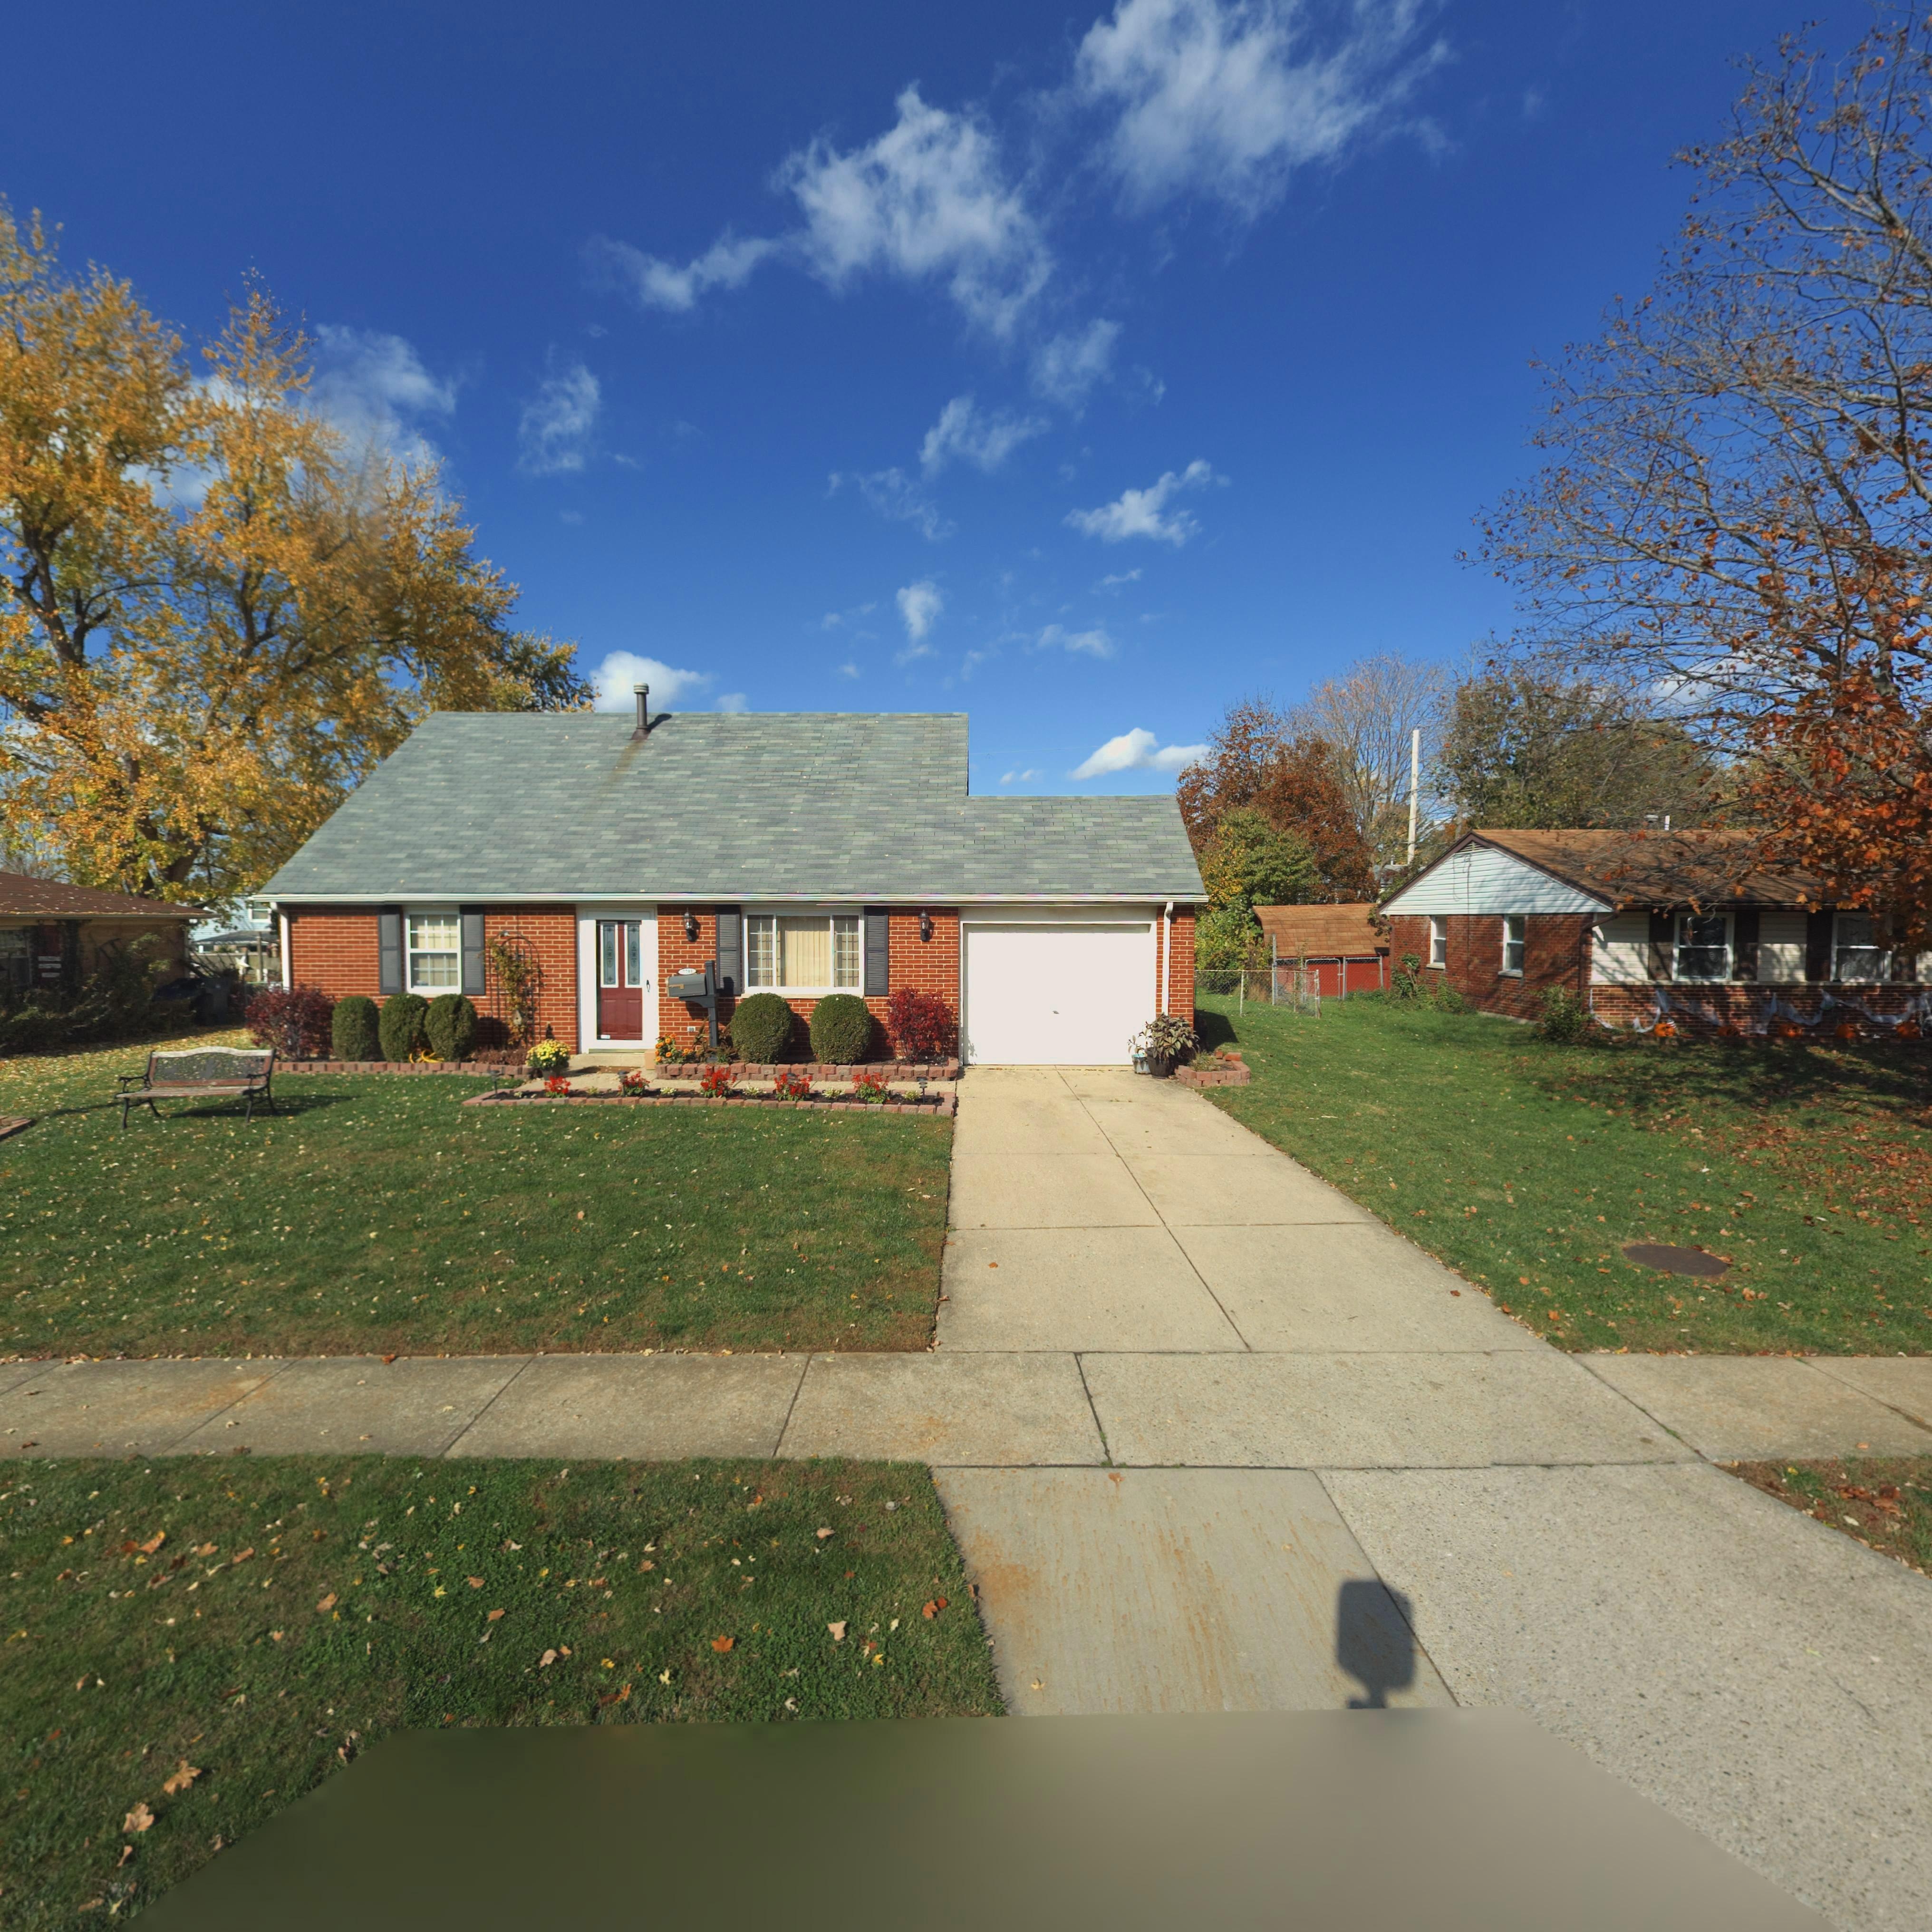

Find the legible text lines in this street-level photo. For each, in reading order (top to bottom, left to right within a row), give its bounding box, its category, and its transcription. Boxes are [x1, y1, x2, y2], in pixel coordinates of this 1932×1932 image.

[682, 969, 693, 973] StreetNumber: 7*01